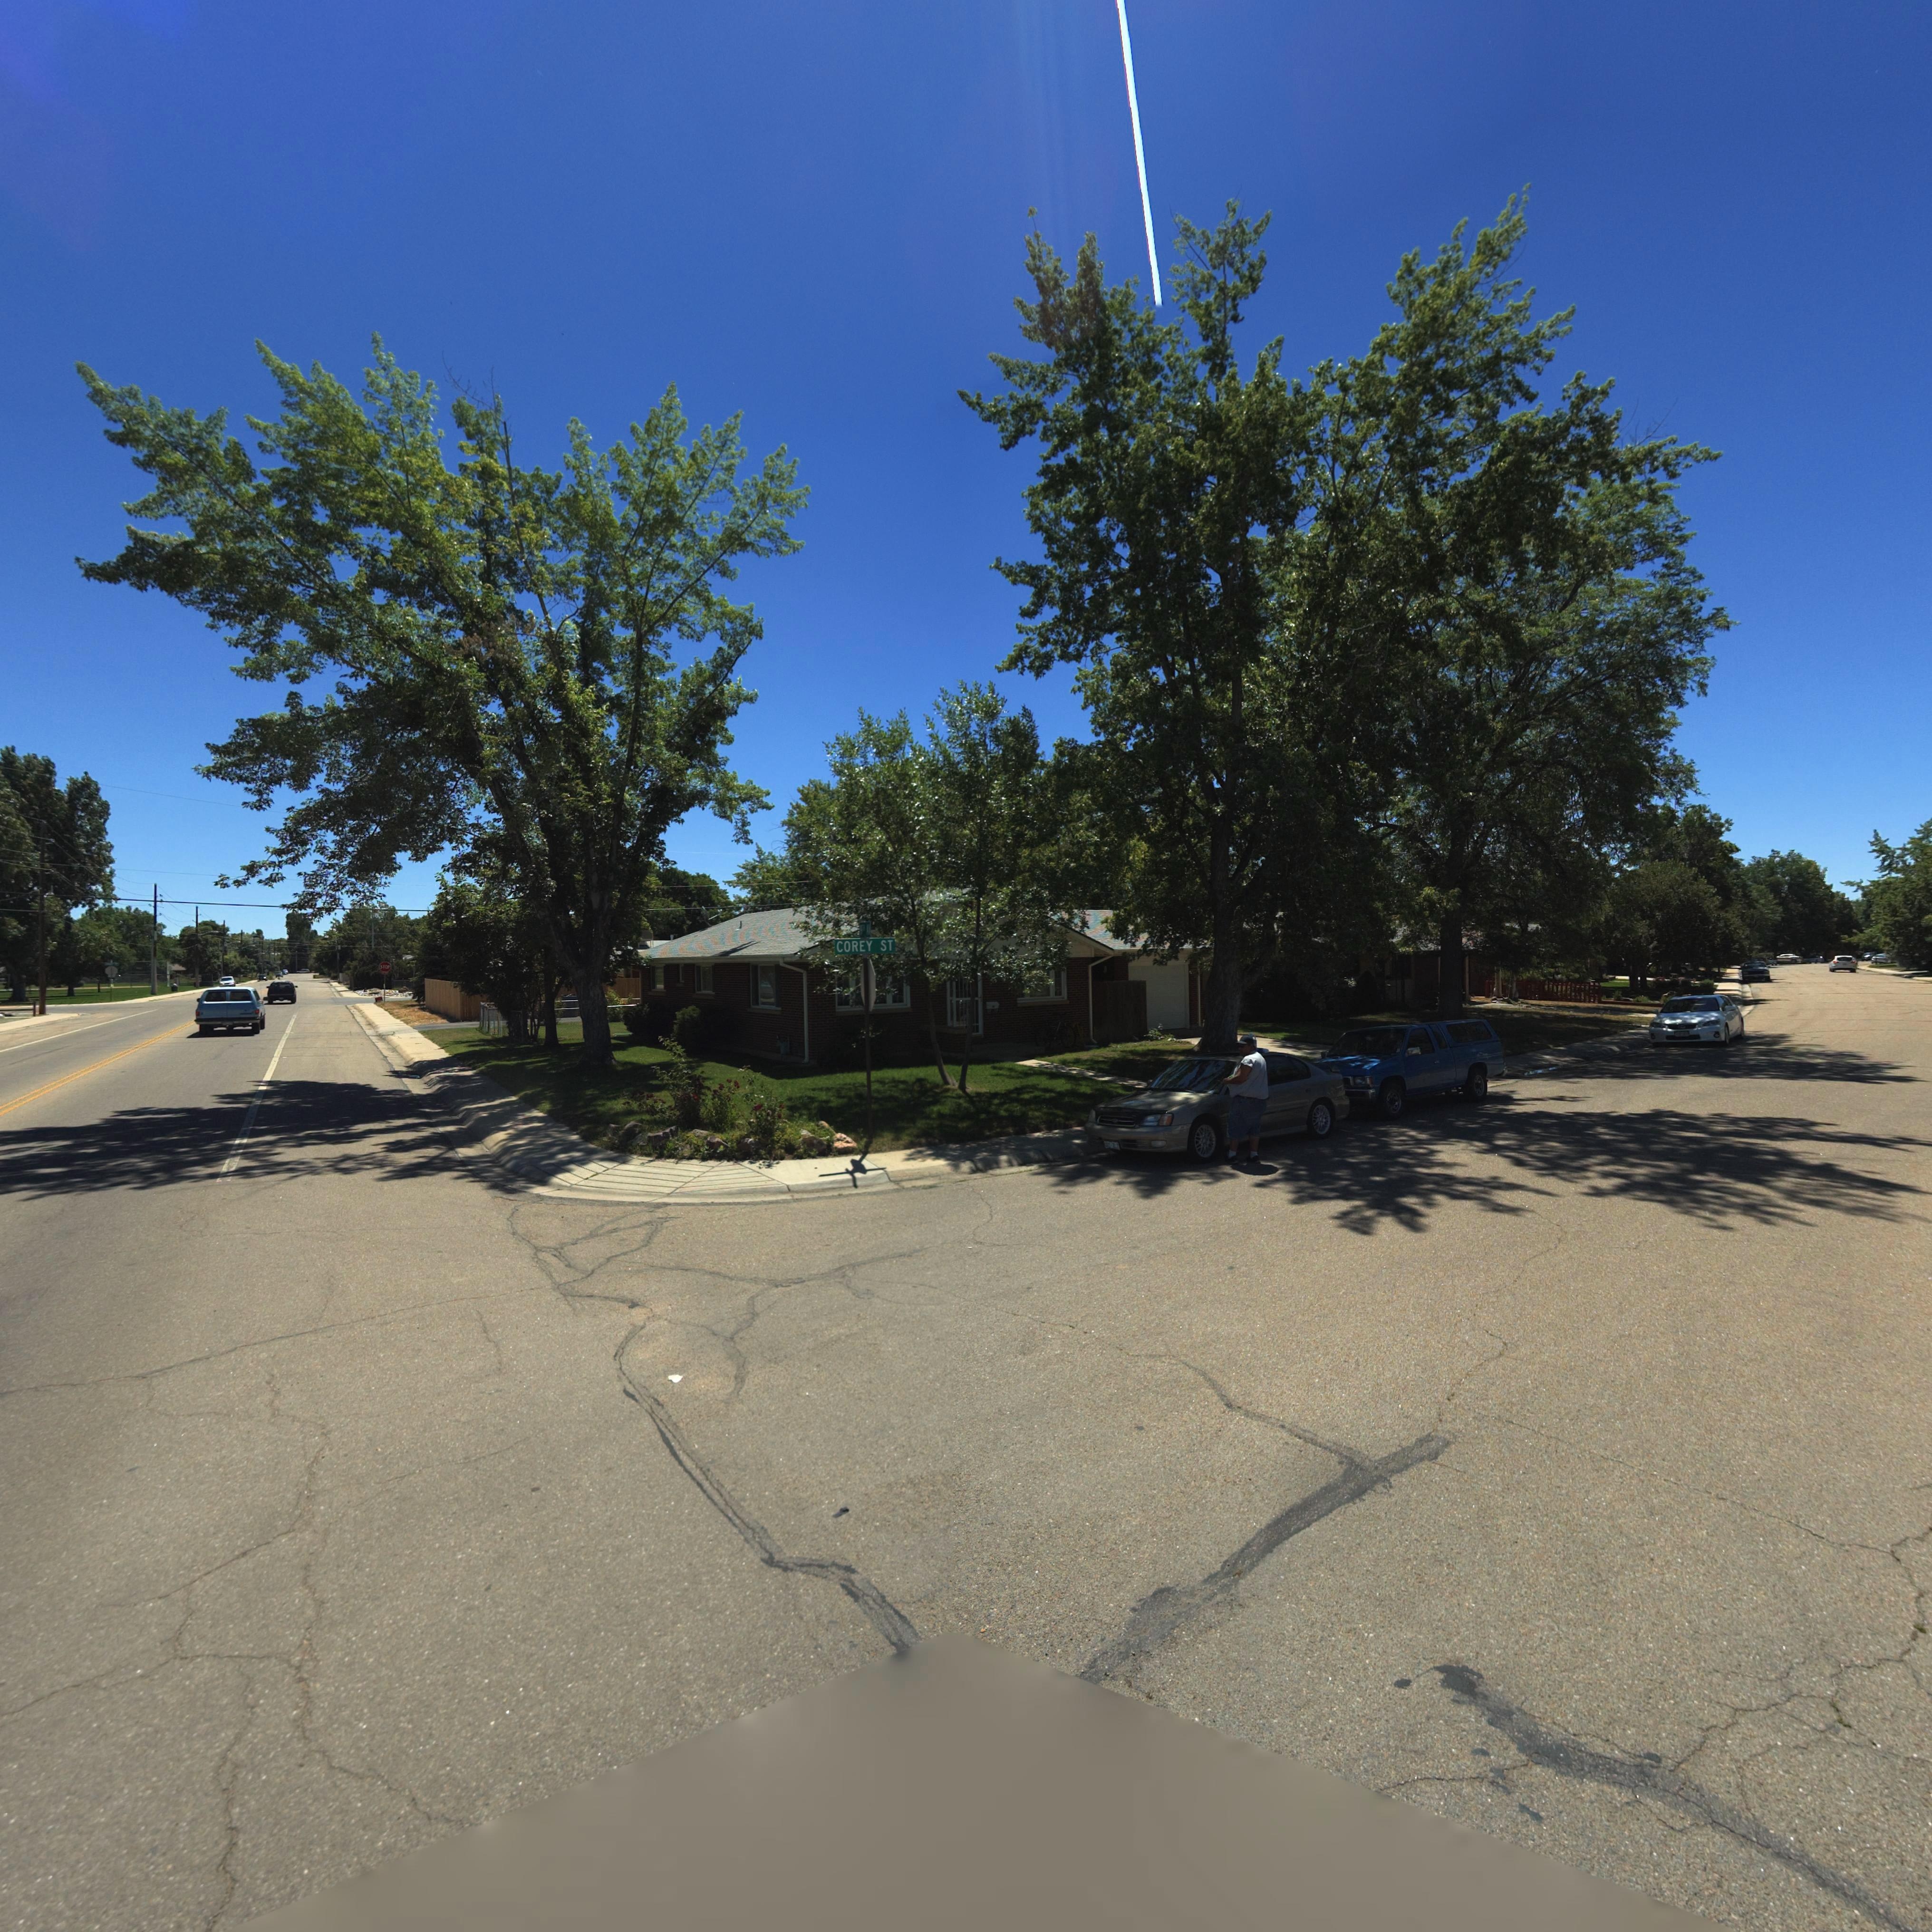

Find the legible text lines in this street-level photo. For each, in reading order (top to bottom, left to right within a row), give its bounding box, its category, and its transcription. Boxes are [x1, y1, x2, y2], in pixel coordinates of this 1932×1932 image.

[859, 923, 870, 935] StreetName: *9TH AV
[836, 939, 893, 952] StreetName: COREY ST